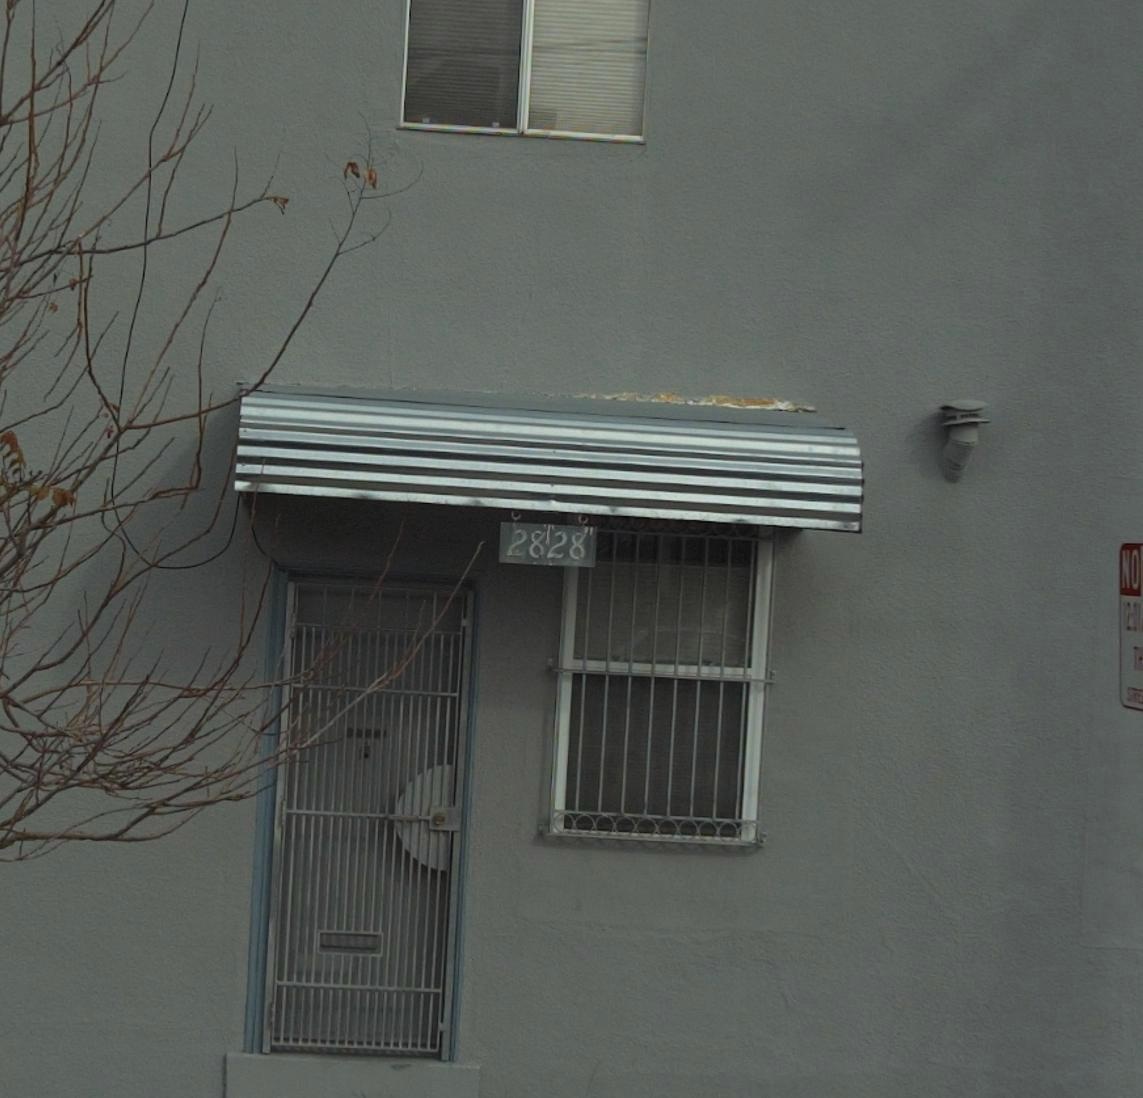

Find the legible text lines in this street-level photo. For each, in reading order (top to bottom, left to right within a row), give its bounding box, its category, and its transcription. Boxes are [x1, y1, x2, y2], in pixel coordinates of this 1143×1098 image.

[504, 527, 589, 562] StreetNumber: 2828
[1117, 545, 1140, 593] None: NO